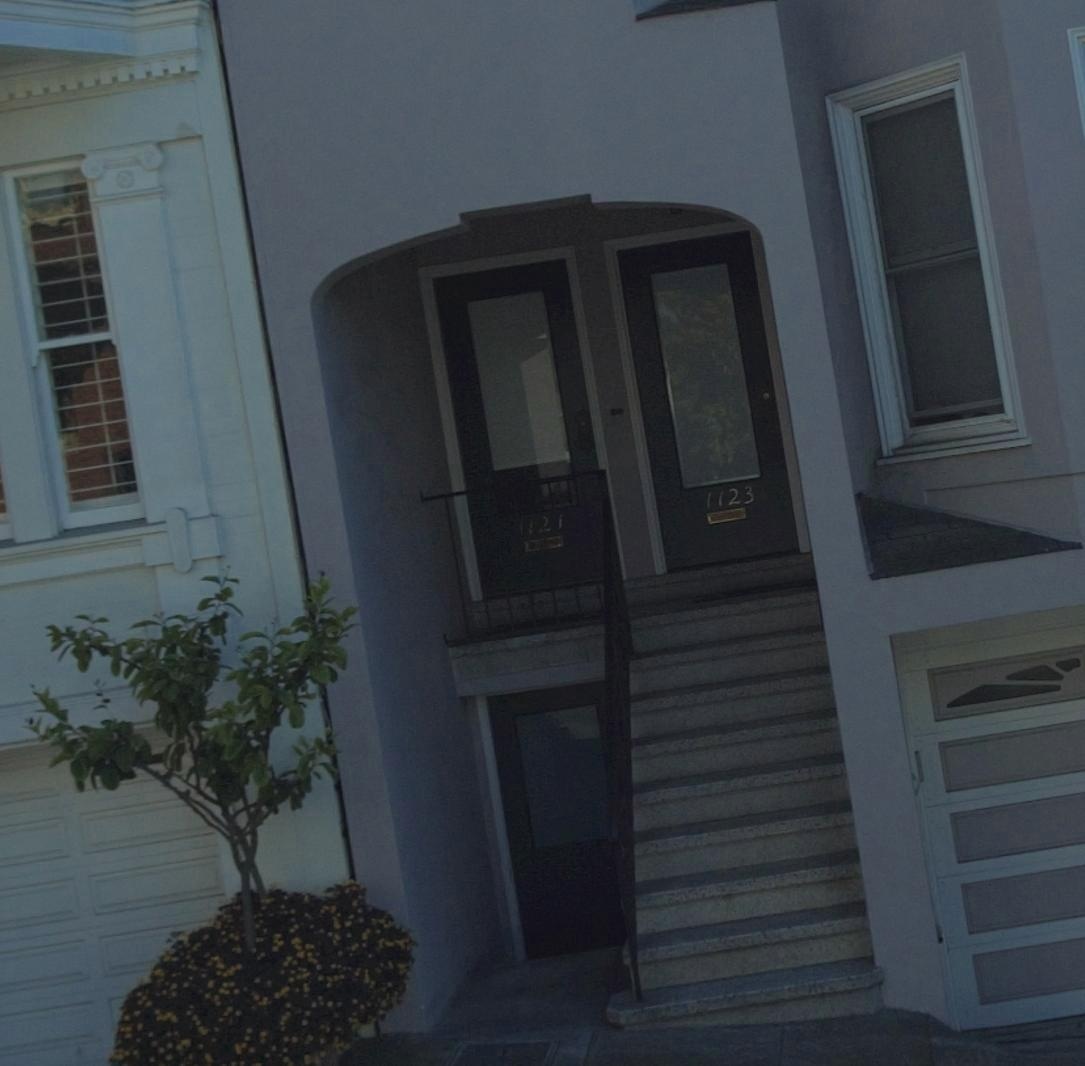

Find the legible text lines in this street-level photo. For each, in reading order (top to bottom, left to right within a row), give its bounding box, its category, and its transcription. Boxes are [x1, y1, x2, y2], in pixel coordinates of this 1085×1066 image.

[705, 483, 756, 511] StreetNumber: 1123
[517, 510, 567, 539] StreetNumber: 1121